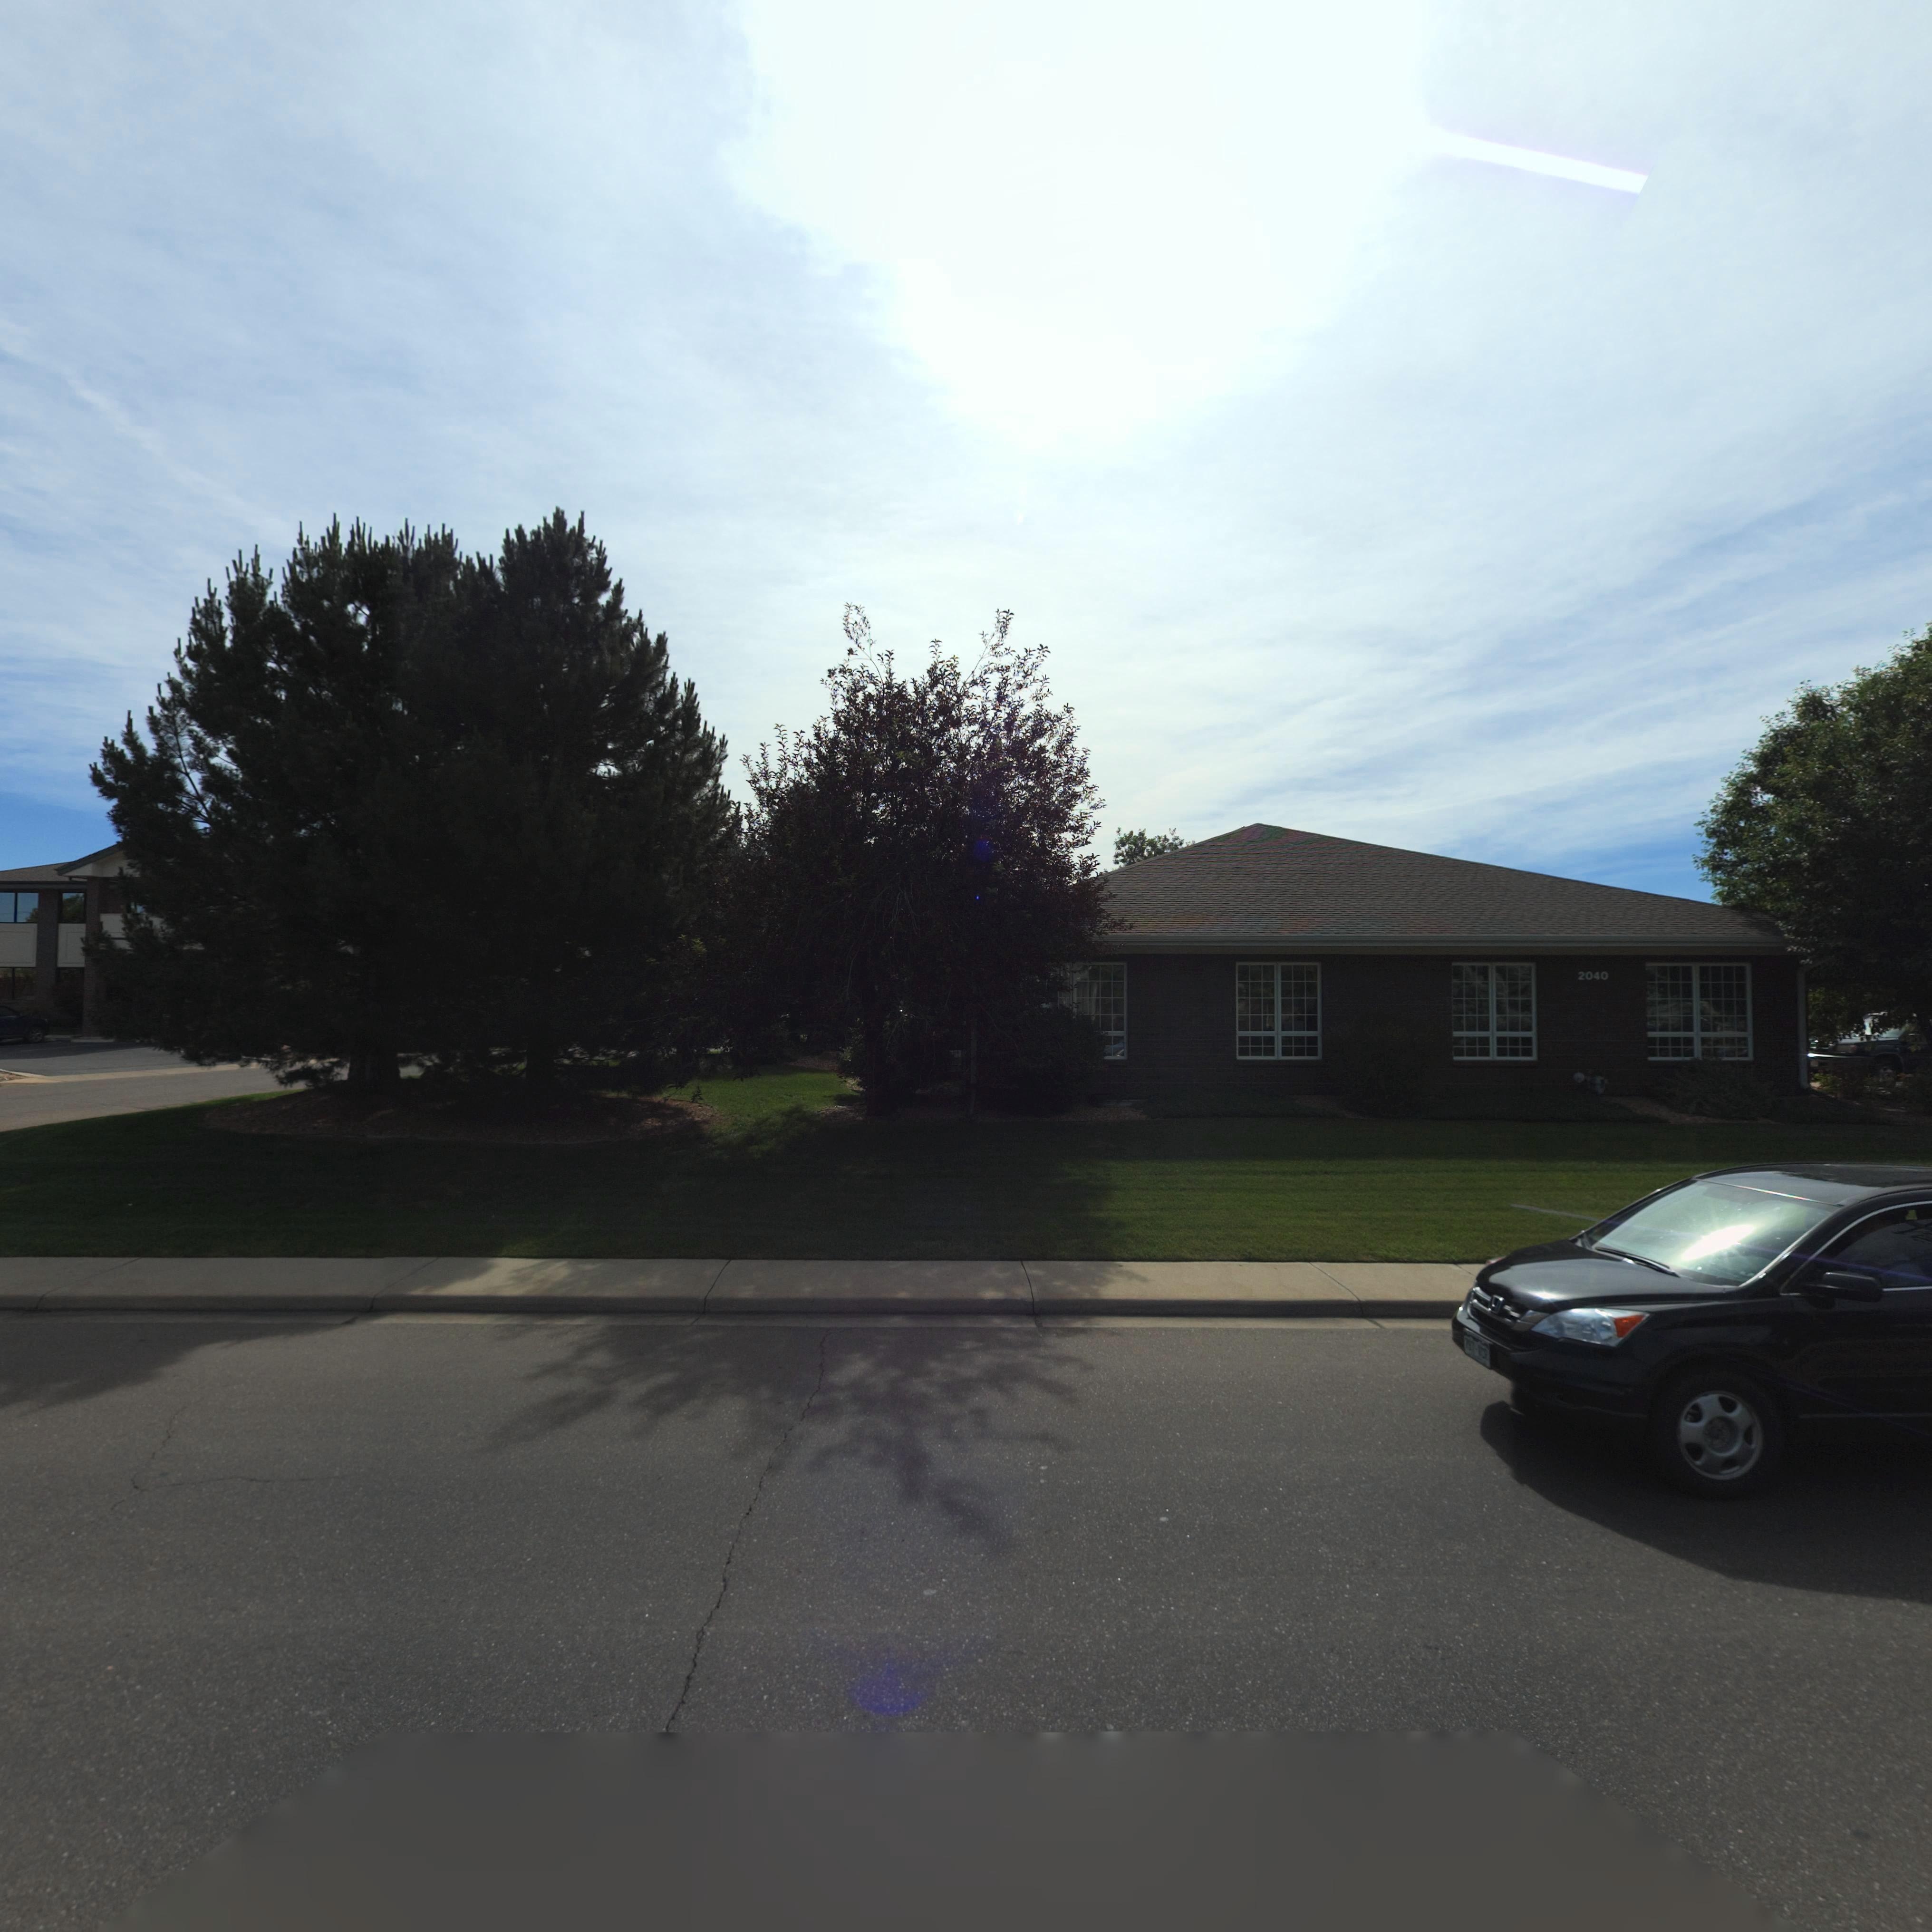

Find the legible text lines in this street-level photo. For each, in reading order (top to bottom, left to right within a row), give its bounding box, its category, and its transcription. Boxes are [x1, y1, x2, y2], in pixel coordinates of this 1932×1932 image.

[1577, 970, 1608, 980] StreetNumber: 2040